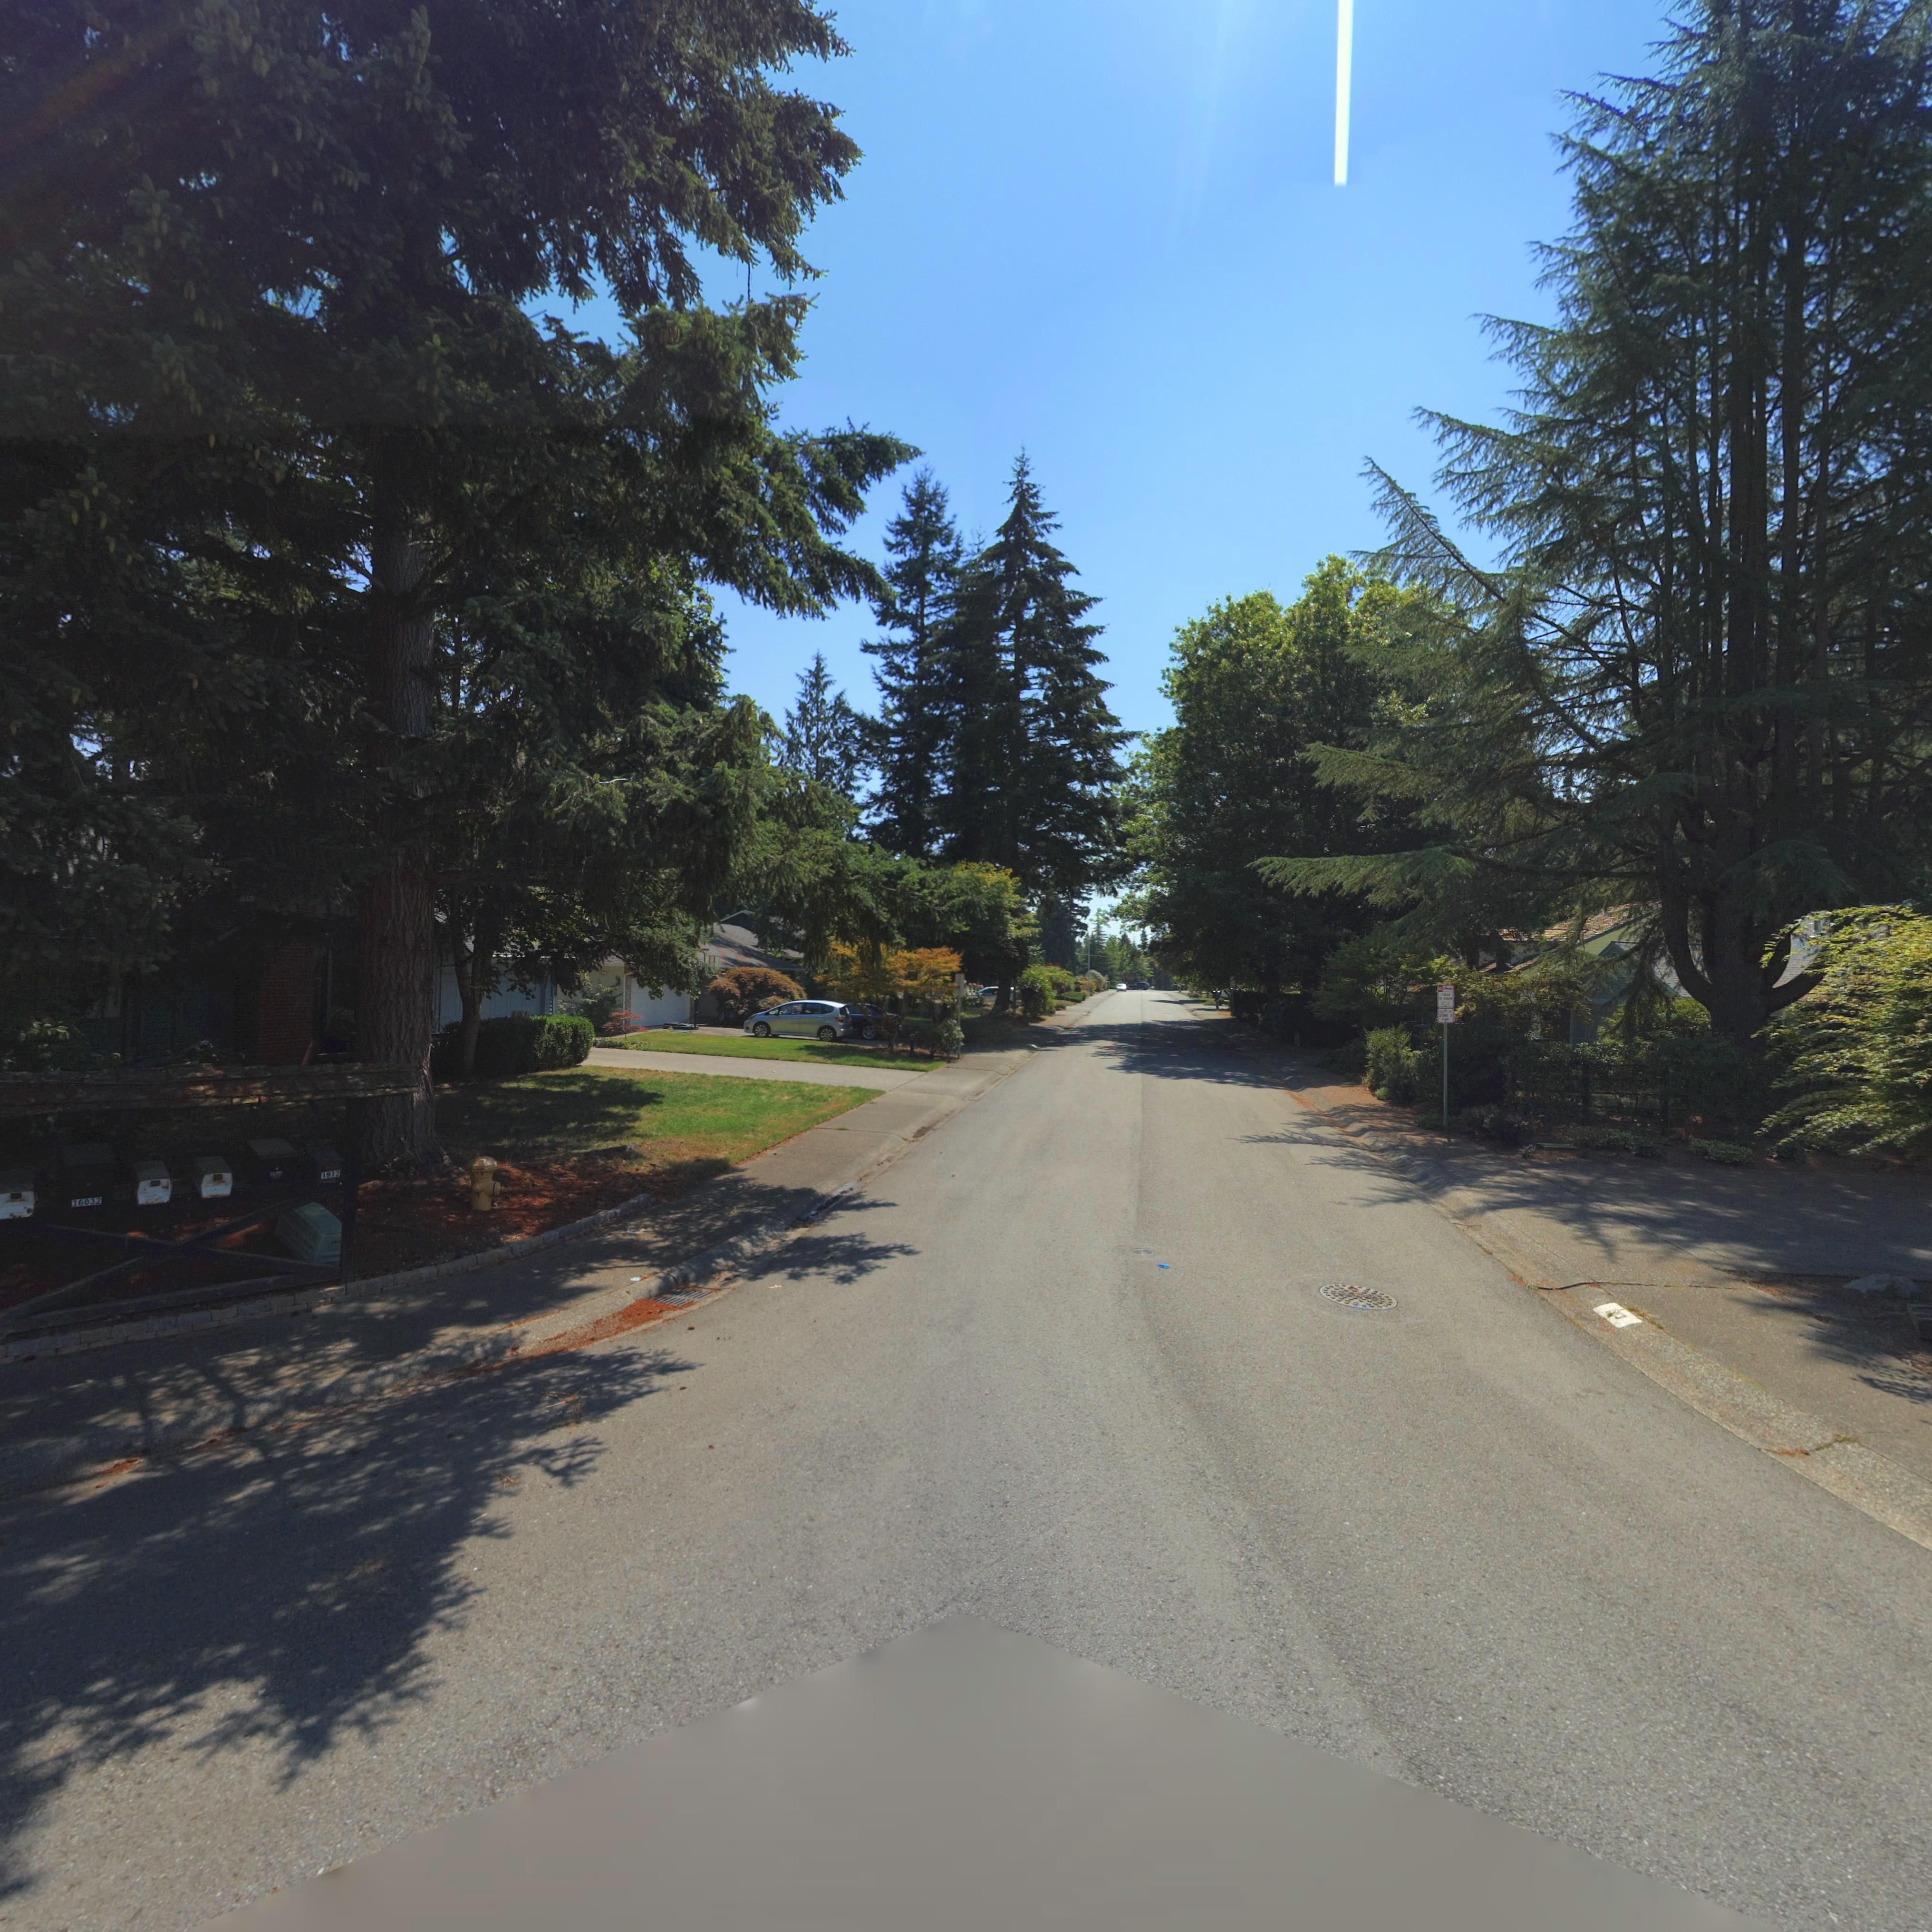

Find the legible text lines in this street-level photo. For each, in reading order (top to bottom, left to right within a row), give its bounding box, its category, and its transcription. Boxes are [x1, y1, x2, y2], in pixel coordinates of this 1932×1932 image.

[322, 1170, 339, 1179] StreetNumber: 1912
[71, 1197, 101, 1207] StreetNumber: 16032